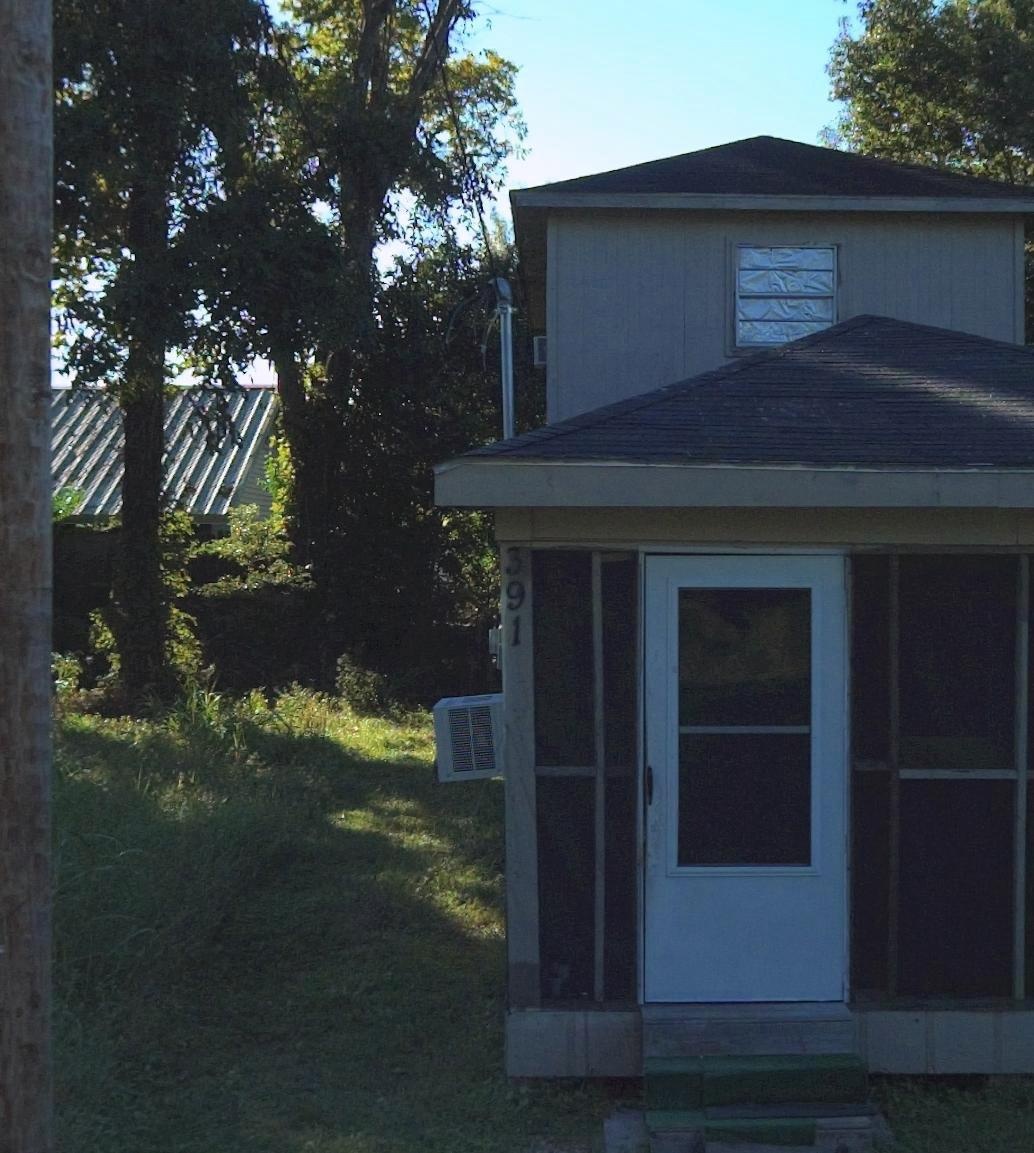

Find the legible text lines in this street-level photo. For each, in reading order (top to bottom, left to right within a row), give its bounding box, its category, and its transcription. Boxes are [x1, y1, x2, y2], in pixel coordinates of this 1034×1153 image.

[501, 542, 530, 653] StreetNumber: 391